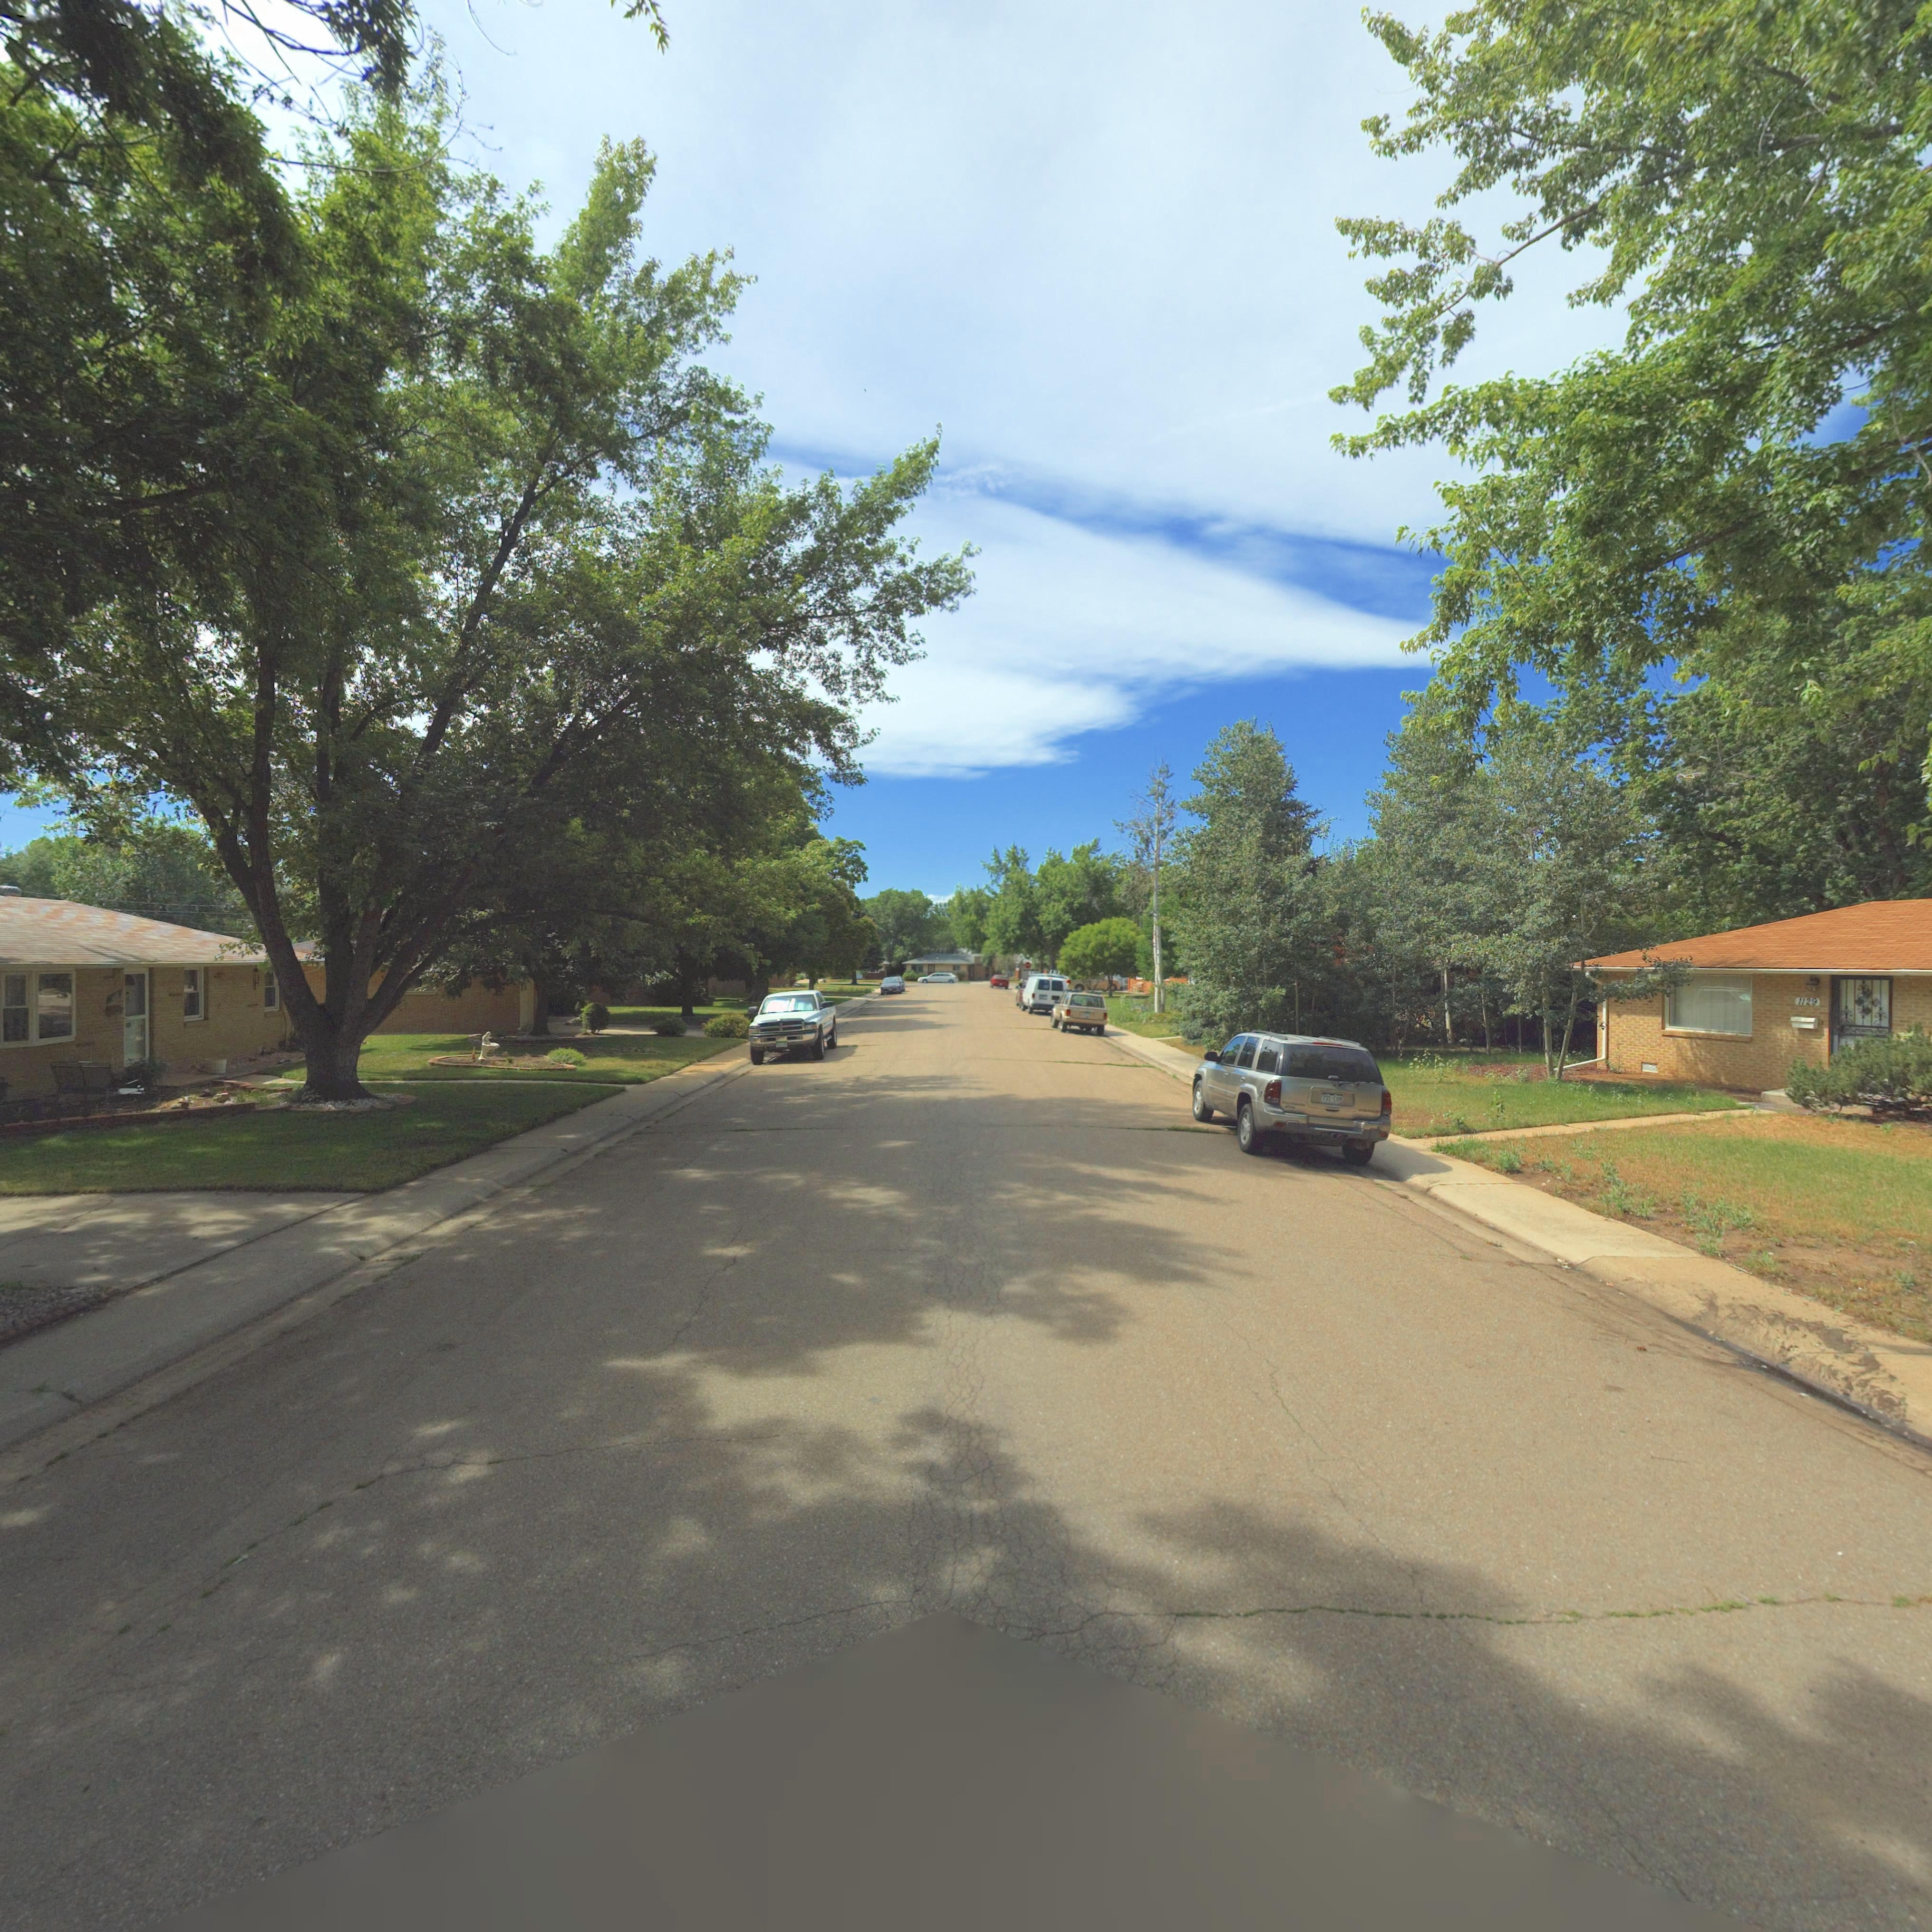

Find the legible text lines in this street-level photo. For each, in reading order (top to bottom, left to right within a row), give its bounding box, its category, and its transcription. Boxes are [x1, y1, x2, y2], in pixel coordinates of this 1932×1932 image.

[1798, 997, 1817, 1005] StreetNumber: 1129